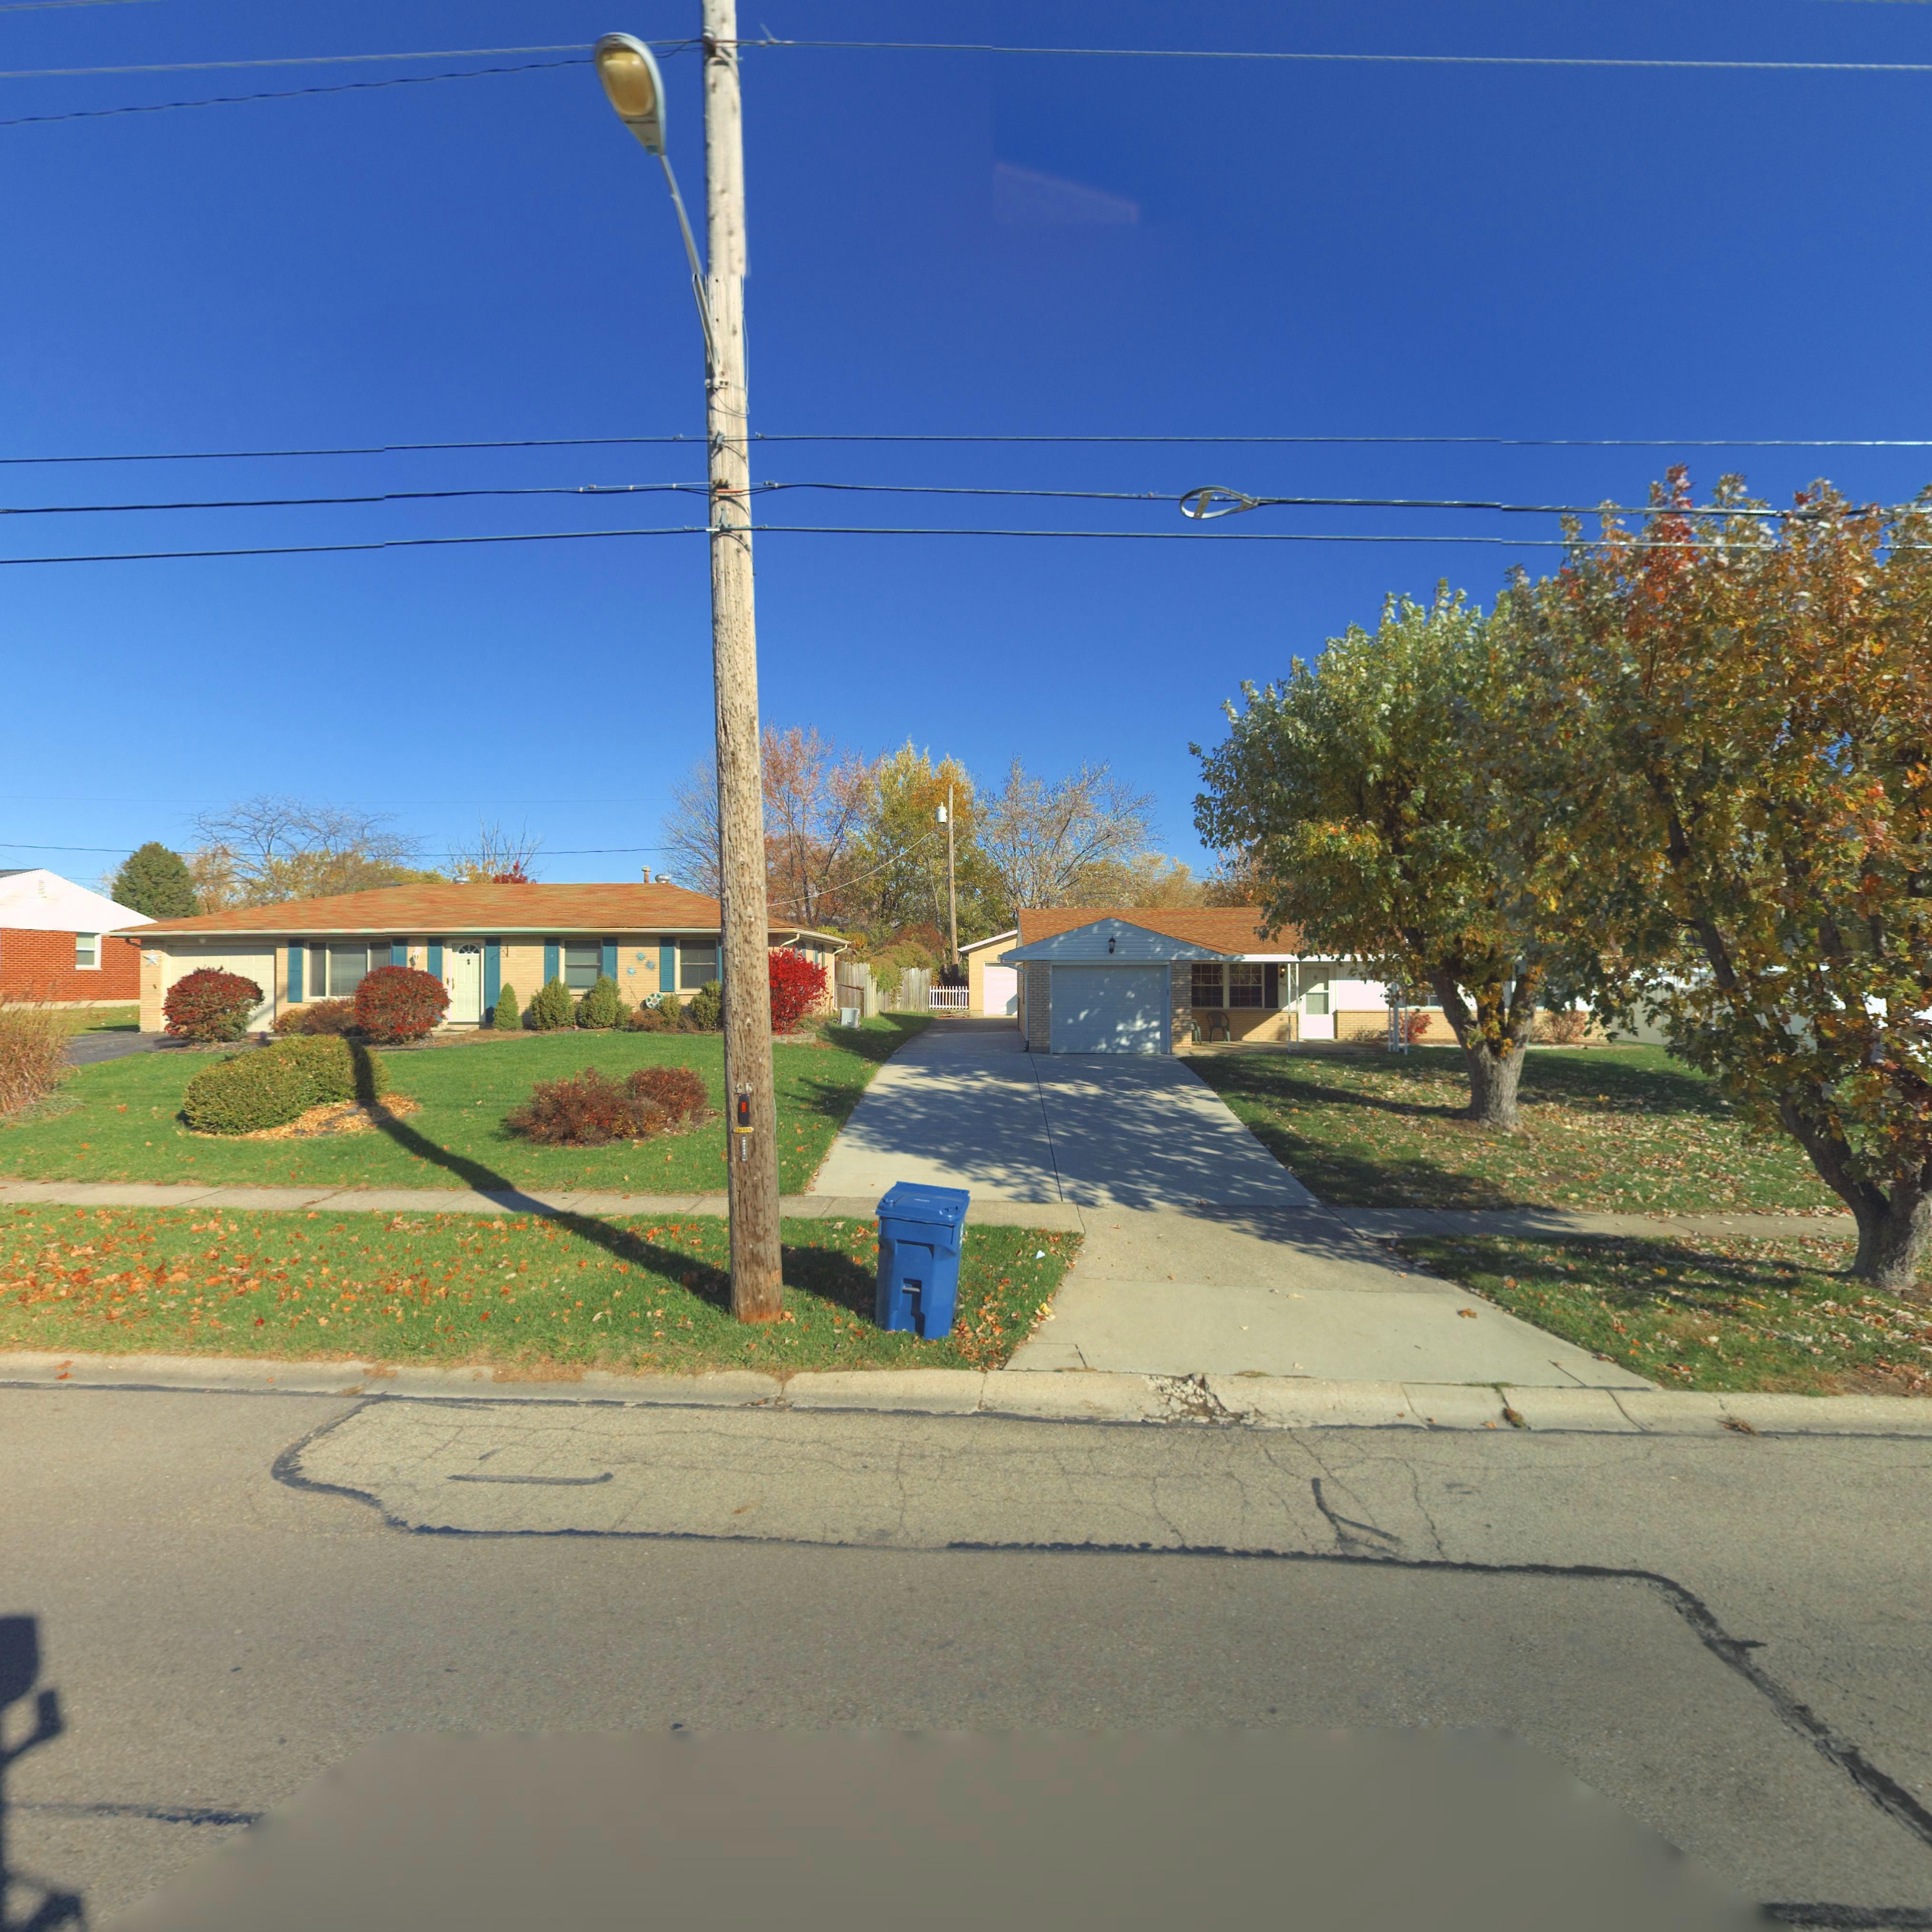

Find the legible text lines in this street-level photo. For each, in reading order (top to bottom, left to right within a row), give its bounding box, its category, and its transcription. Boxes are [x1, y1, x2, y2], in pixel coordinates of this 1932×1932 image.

[1278, 980, 1287, 988] StreetNumber: 6*